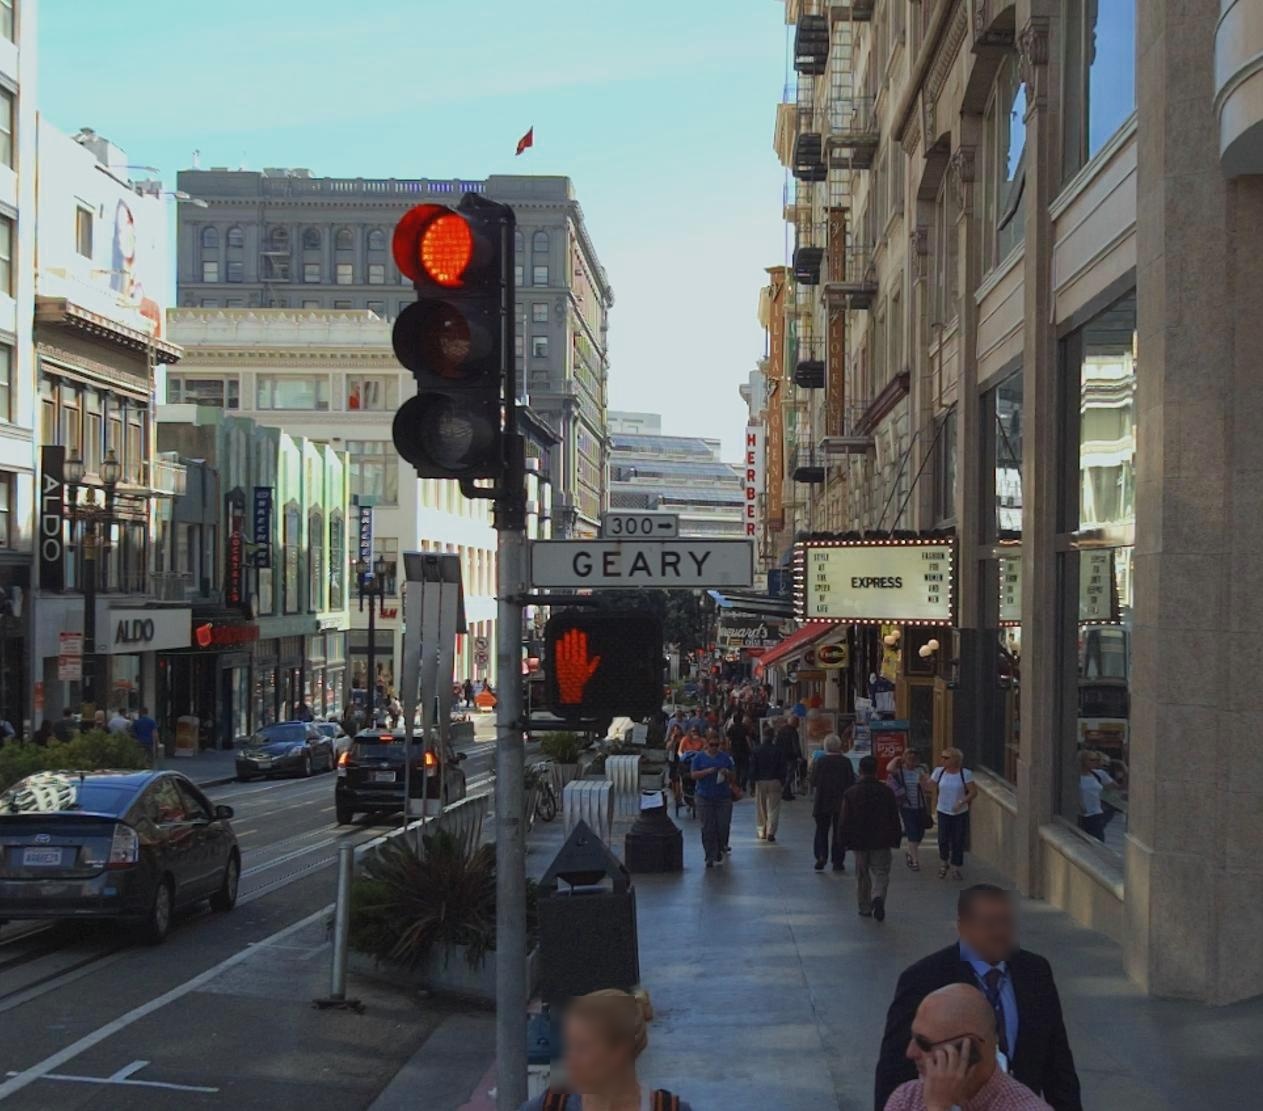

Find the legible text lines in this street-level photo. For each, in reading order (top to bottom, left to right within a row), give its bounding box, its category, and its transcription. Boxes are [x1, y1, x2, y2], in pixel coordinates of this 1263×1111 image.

[829, 324, 842, 403] BusinessName: LOREN
[767, 280, 786, 514] BusinessName: VILLA*LORENCE
[744, 431, 758, 538] BusinessName: HERBER
[228, 529, 242, 548] BusinessName: CO
[609, 515, 676, 538] StreetNumberRange: 300->
[569, 548, 715, 580] StreetName: Geary > [300]
[849, 574, 905, 592] None: EXPRESS
[113, 616, 156, 647] BusinessName: ALDO
[734, 620, 772, 641] BusinessName: ar*ts